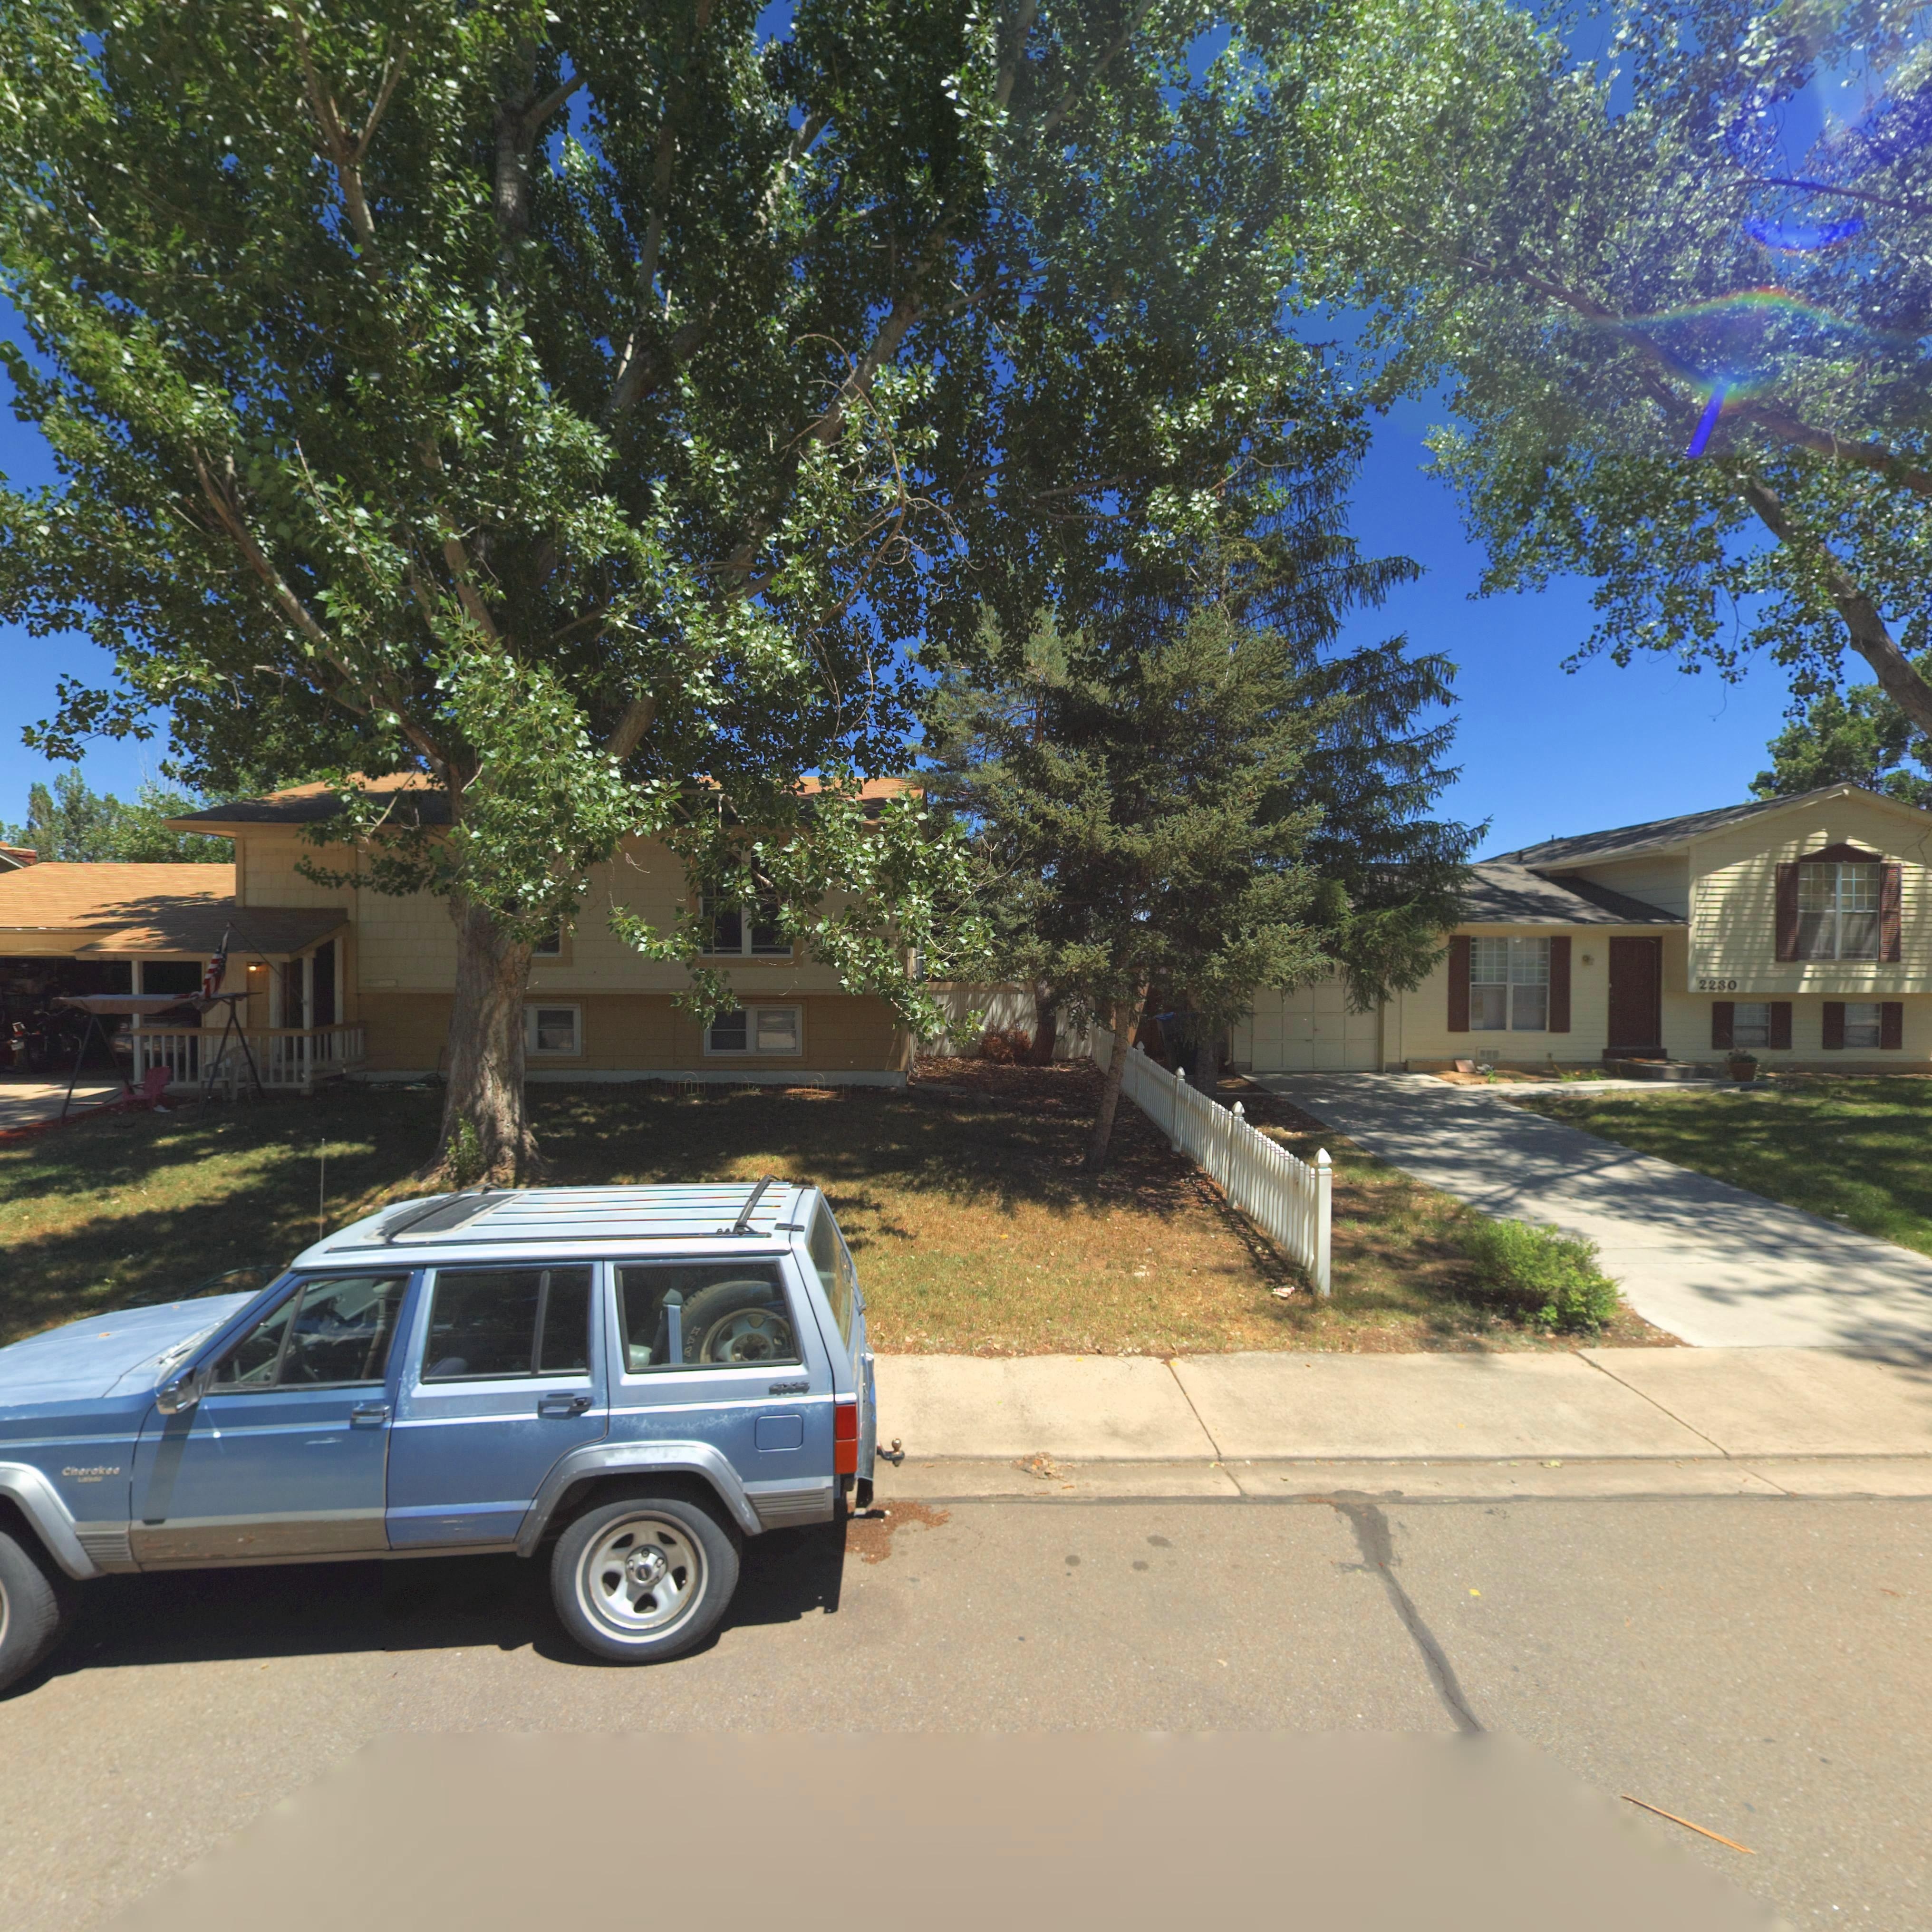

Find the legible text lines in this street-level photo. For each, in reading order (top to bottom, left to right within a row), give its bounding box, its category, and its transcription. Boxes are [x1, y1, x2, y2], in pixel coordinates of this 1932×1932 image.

[1699, 979, 1737, 990] StreetNumber: 2230